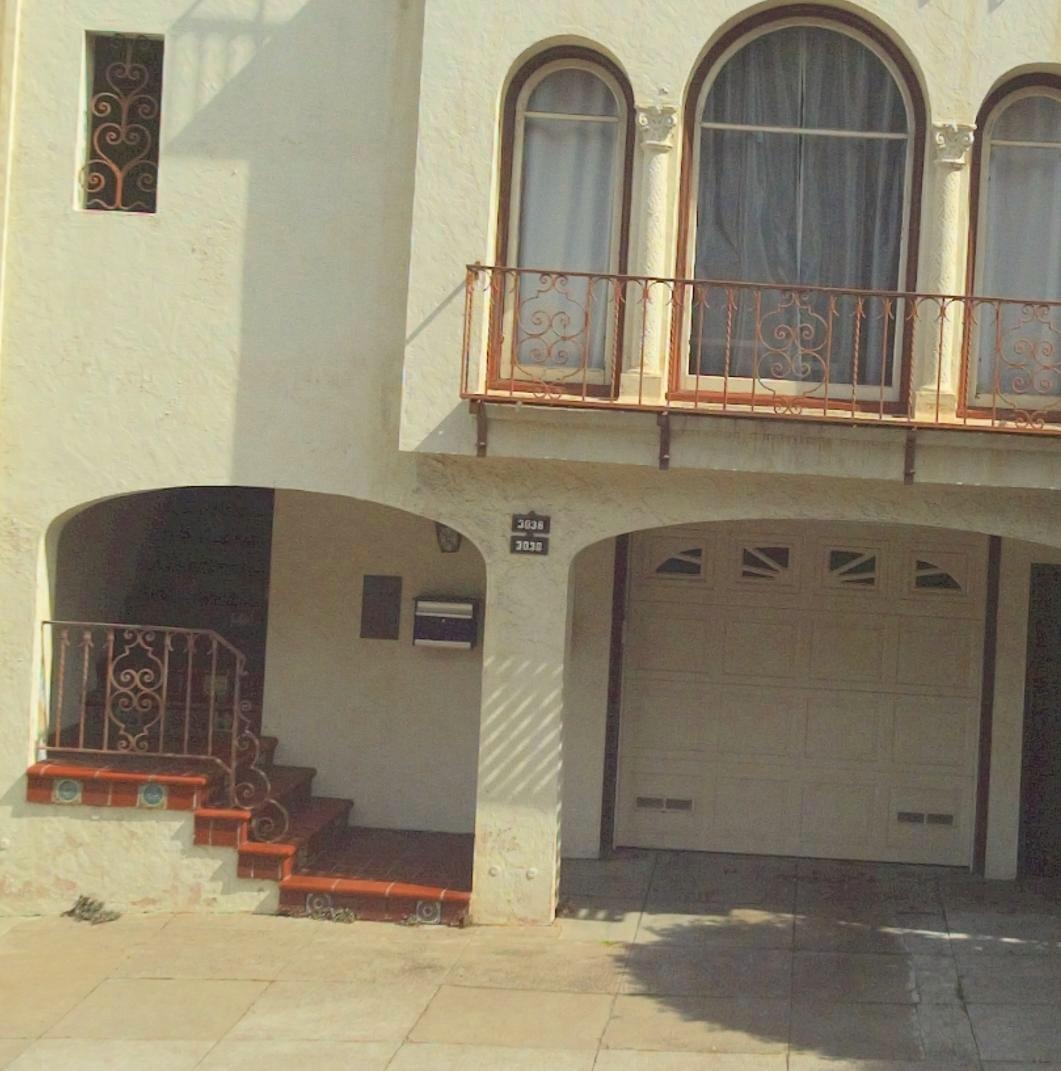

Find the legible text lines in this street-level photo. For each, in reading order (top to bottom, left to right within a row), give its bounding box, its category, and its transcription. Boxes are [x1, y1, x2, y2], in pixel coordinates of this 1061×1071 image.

[515, 517, 546, 532] StreetNumber: 3036
[513, 538, 545, 554] StreetNumber: 303*